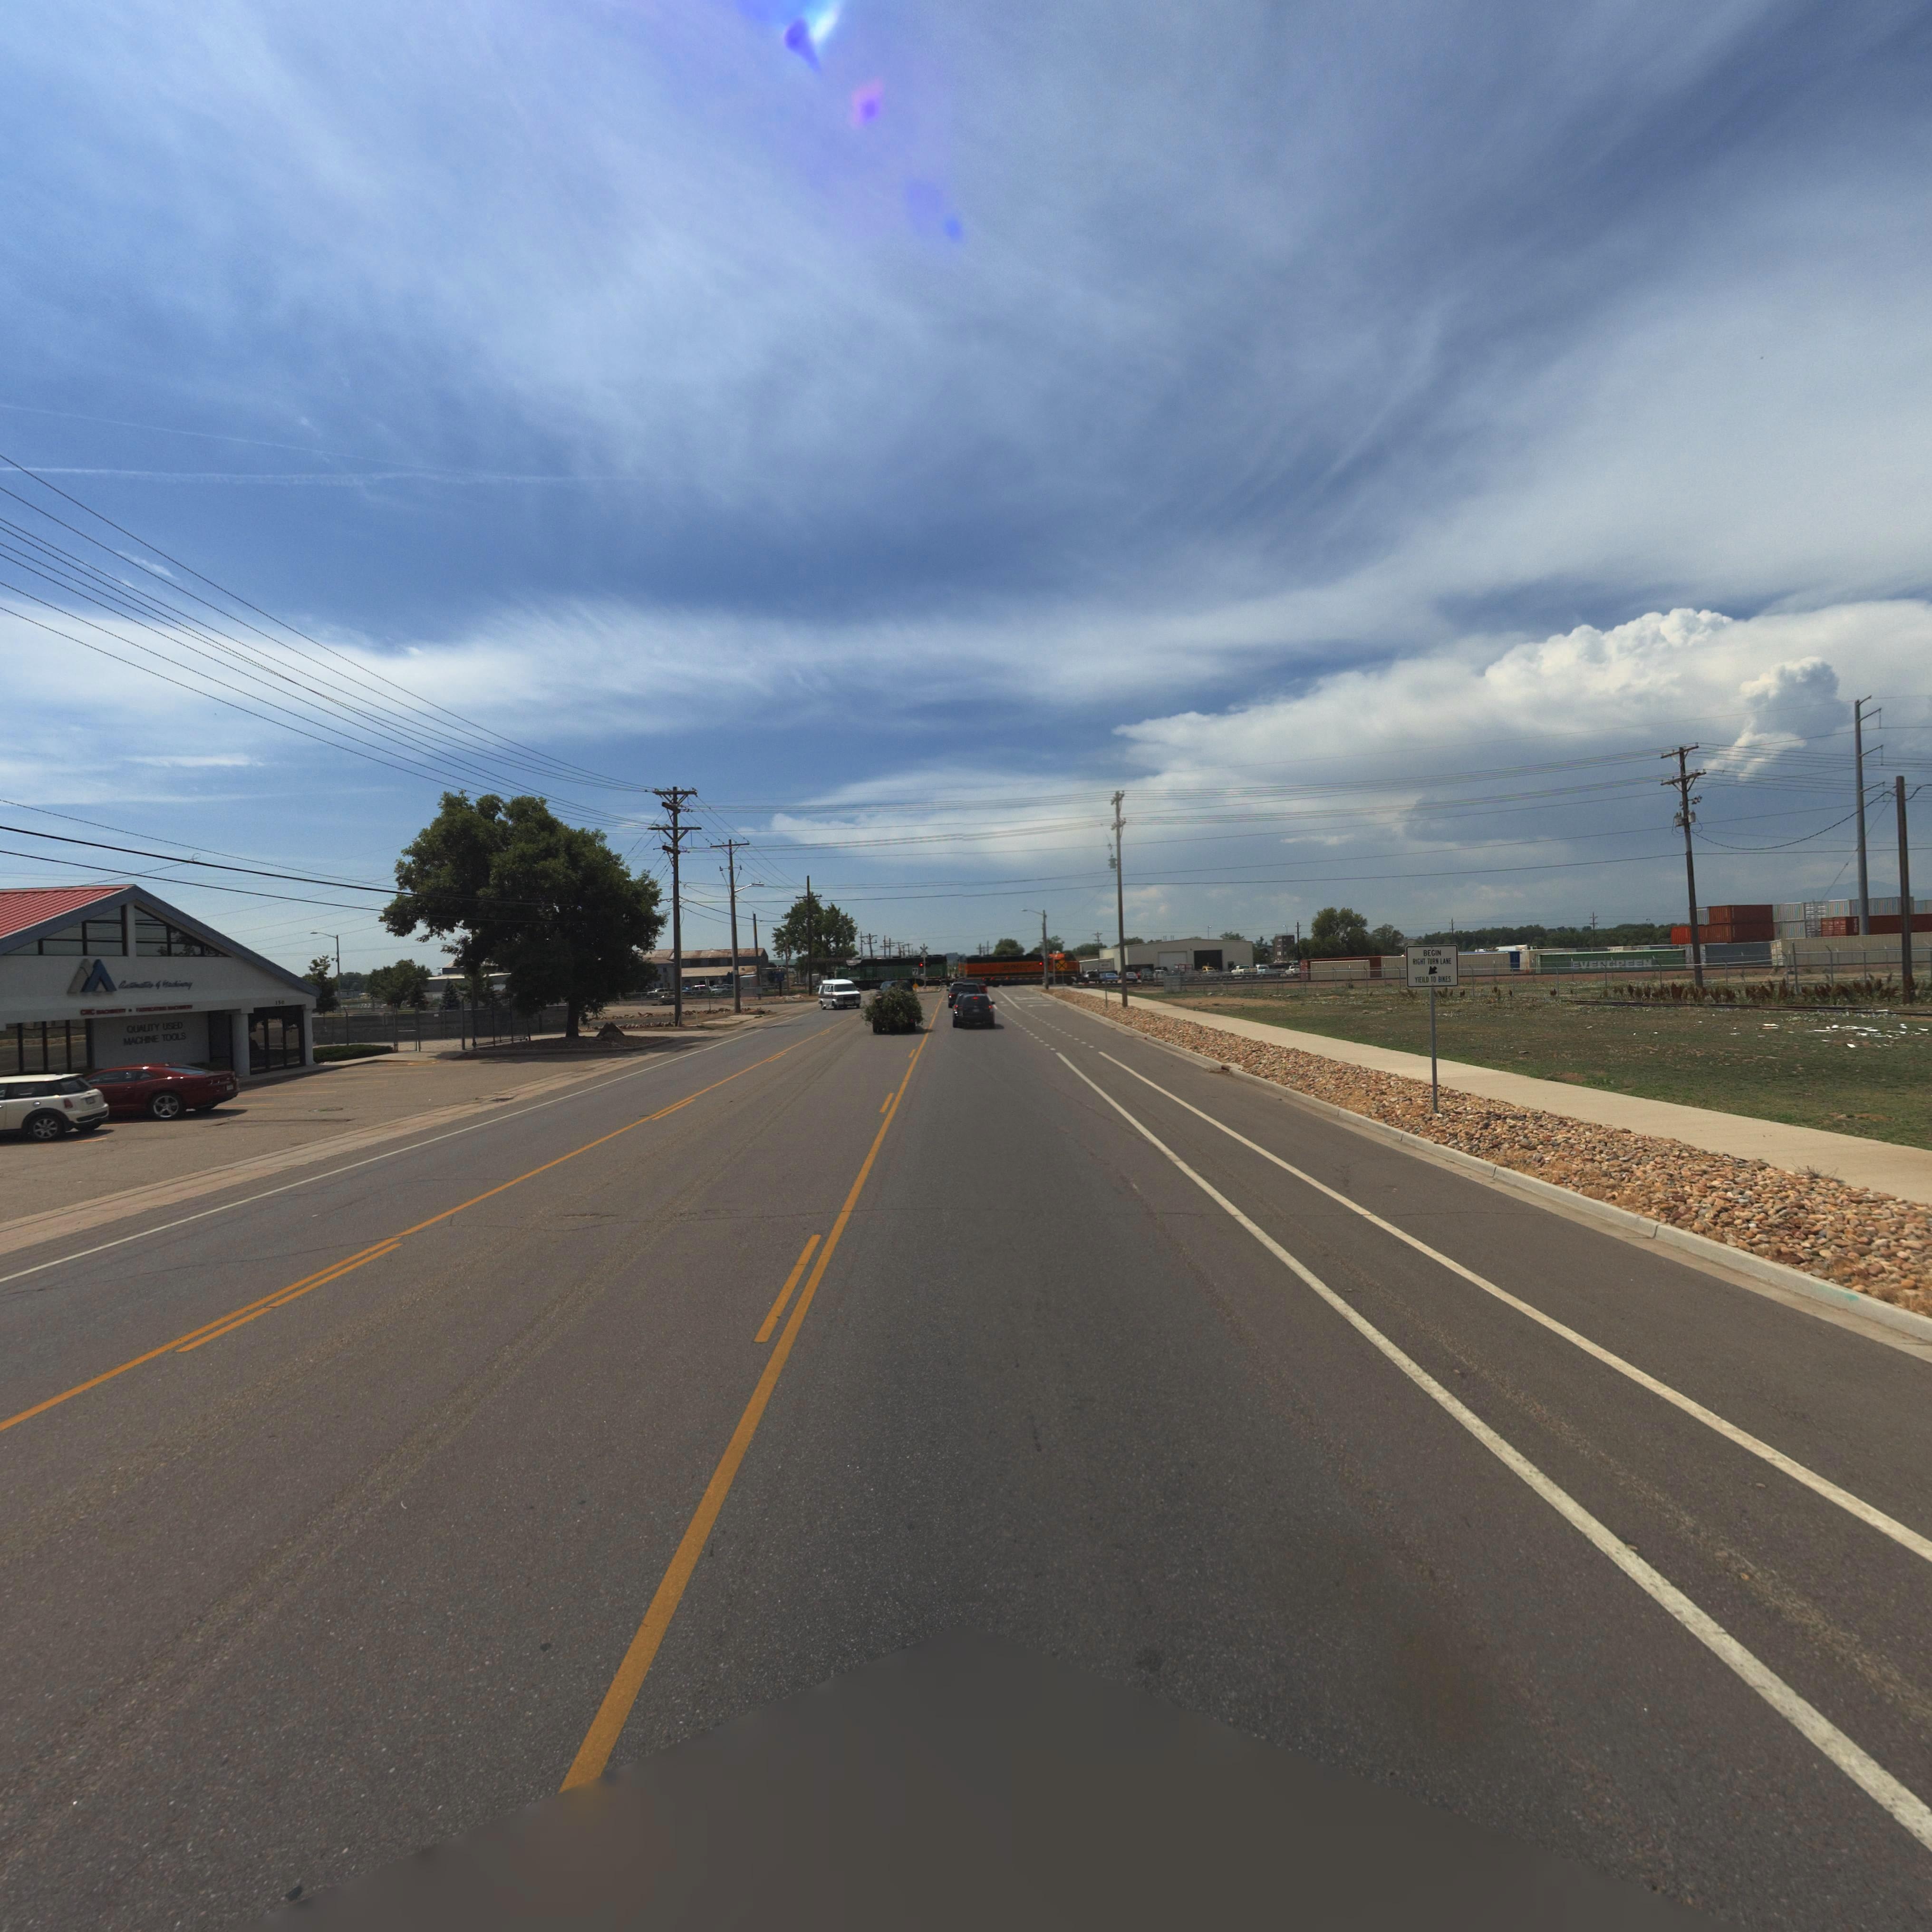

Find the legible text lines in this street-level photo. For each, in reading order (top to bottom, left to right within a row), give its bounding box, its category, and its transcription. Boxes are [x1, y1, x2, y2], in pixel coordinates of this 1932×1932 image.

[117, 979, 193, 991] BusinessName: A********* * ***i**y
[275, 1000, 284, 1005] StreetNumber: 150